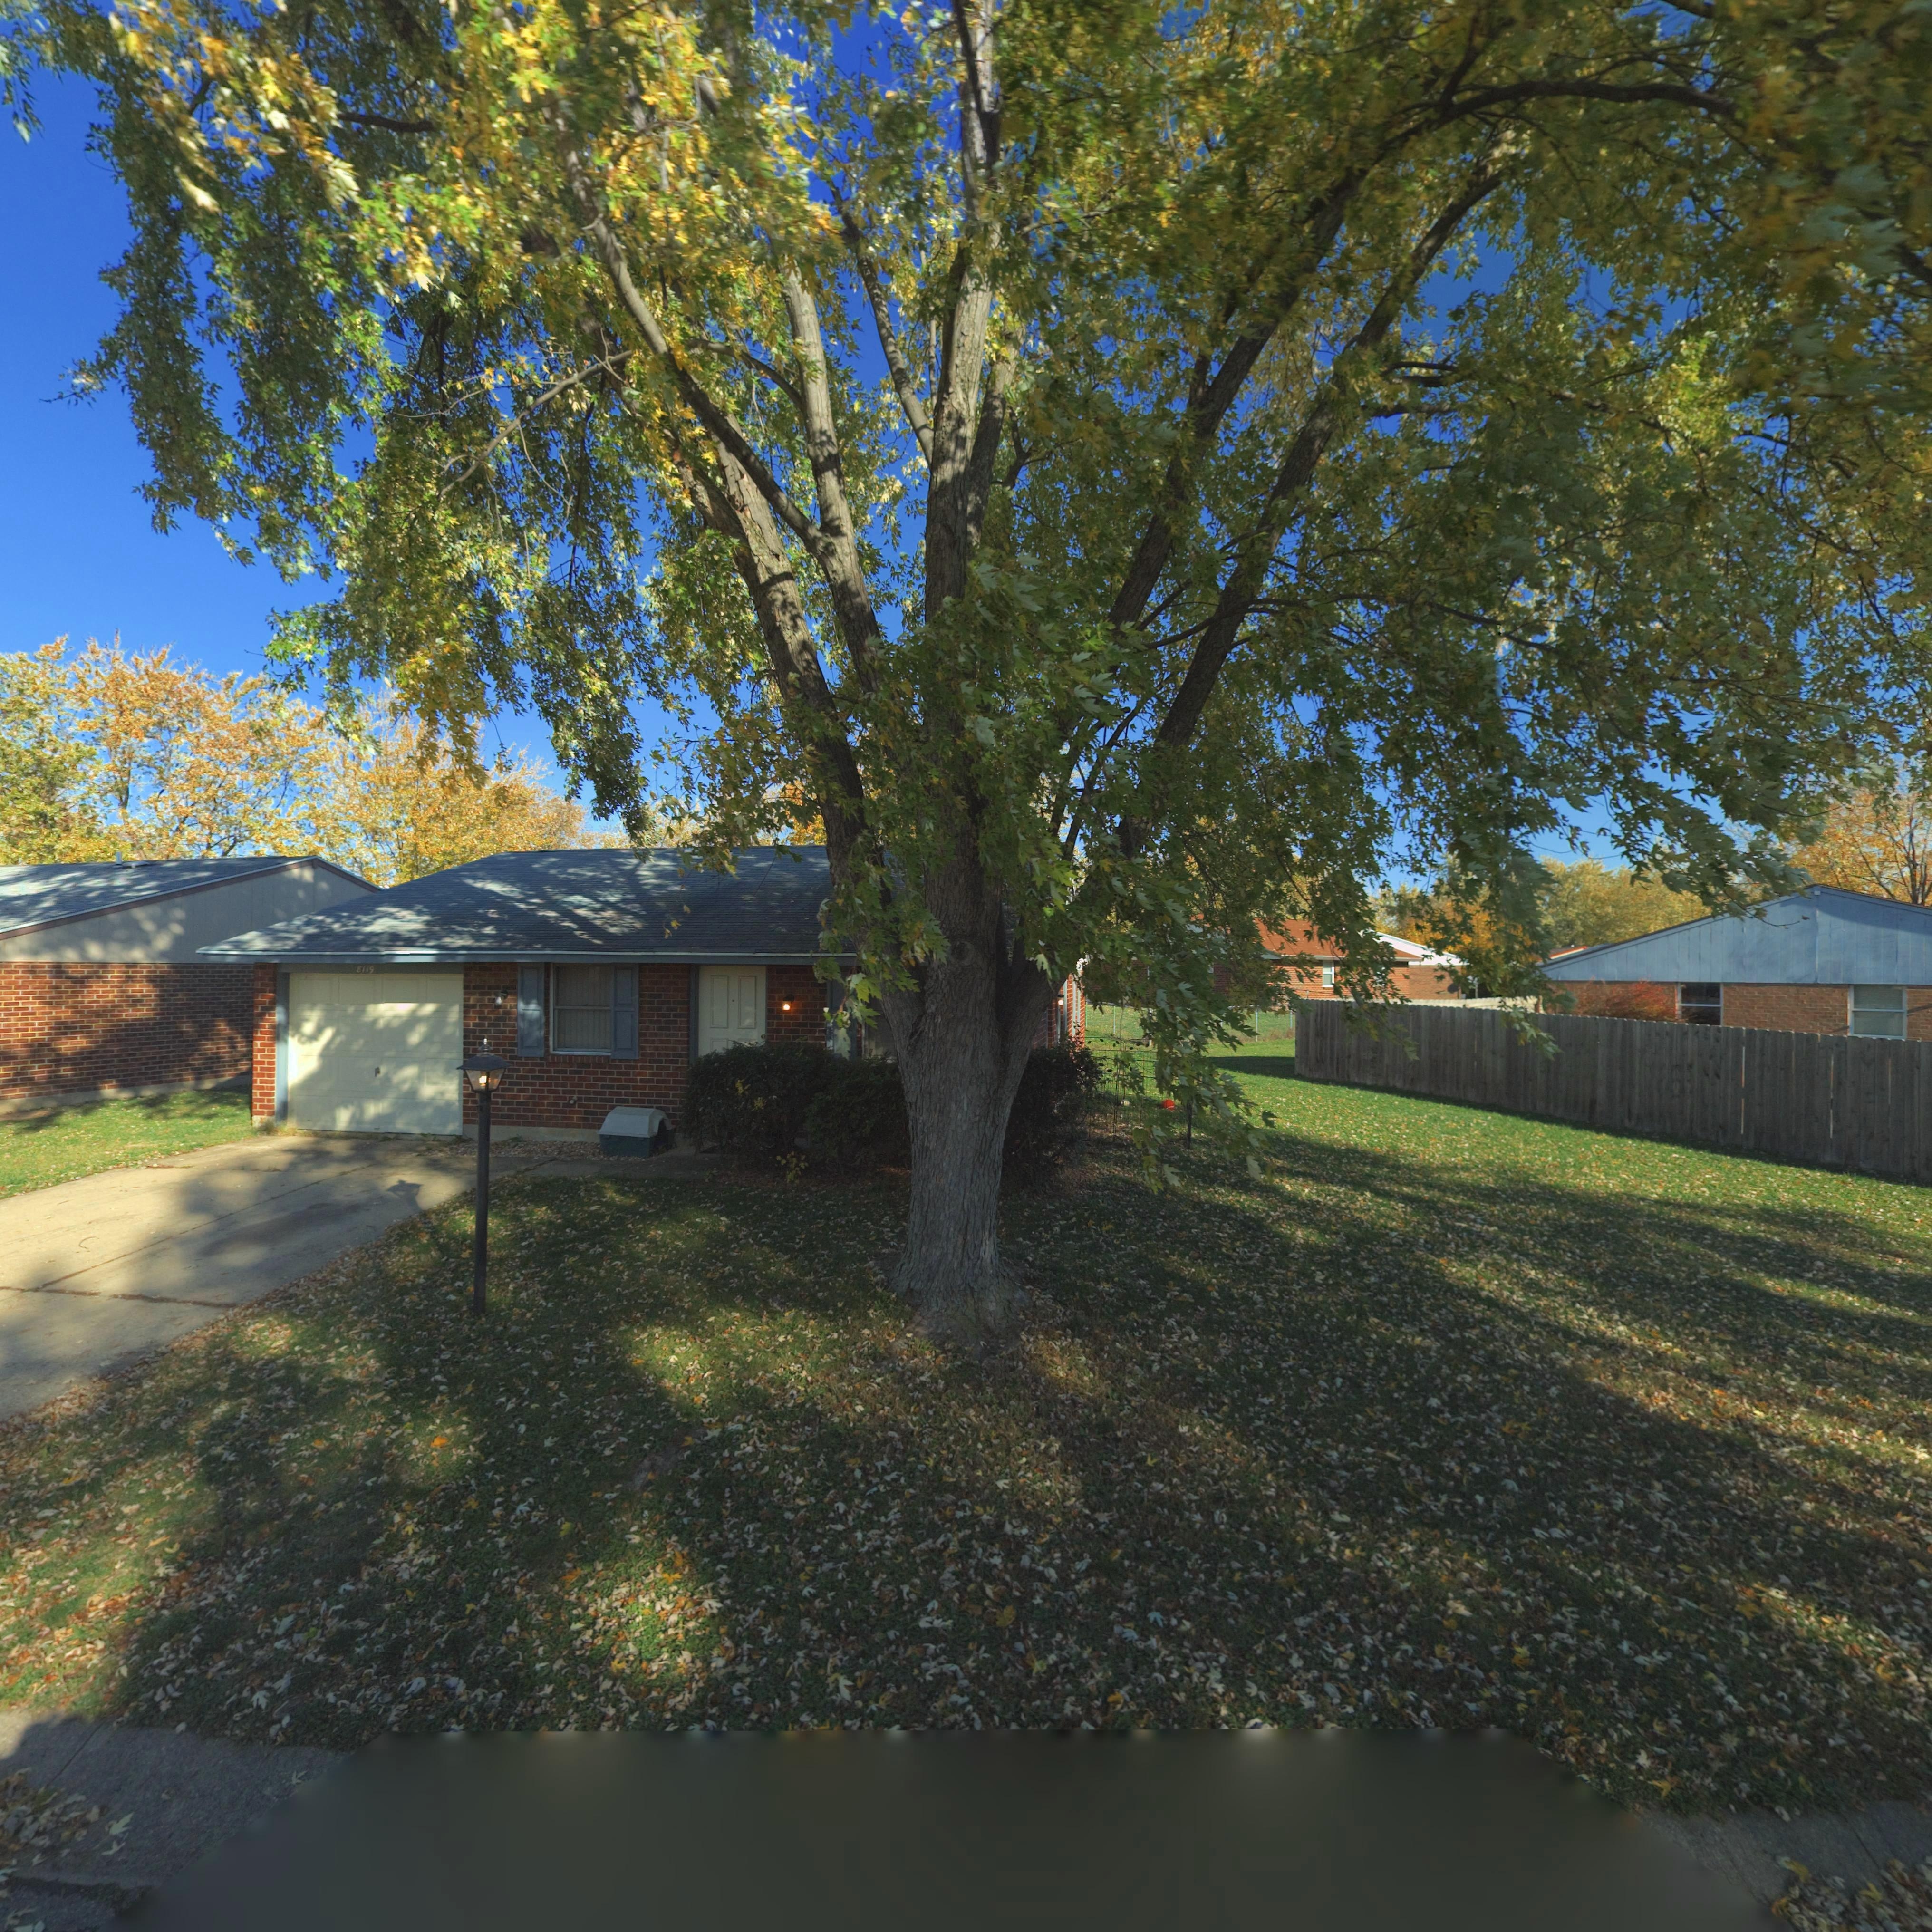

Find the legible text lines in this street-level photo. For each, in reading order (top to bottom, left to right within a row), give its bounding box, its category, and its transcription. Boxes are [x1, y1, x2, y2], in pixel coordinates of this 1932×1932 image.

[355, 965, 376, 975] StreetNumber: 8119